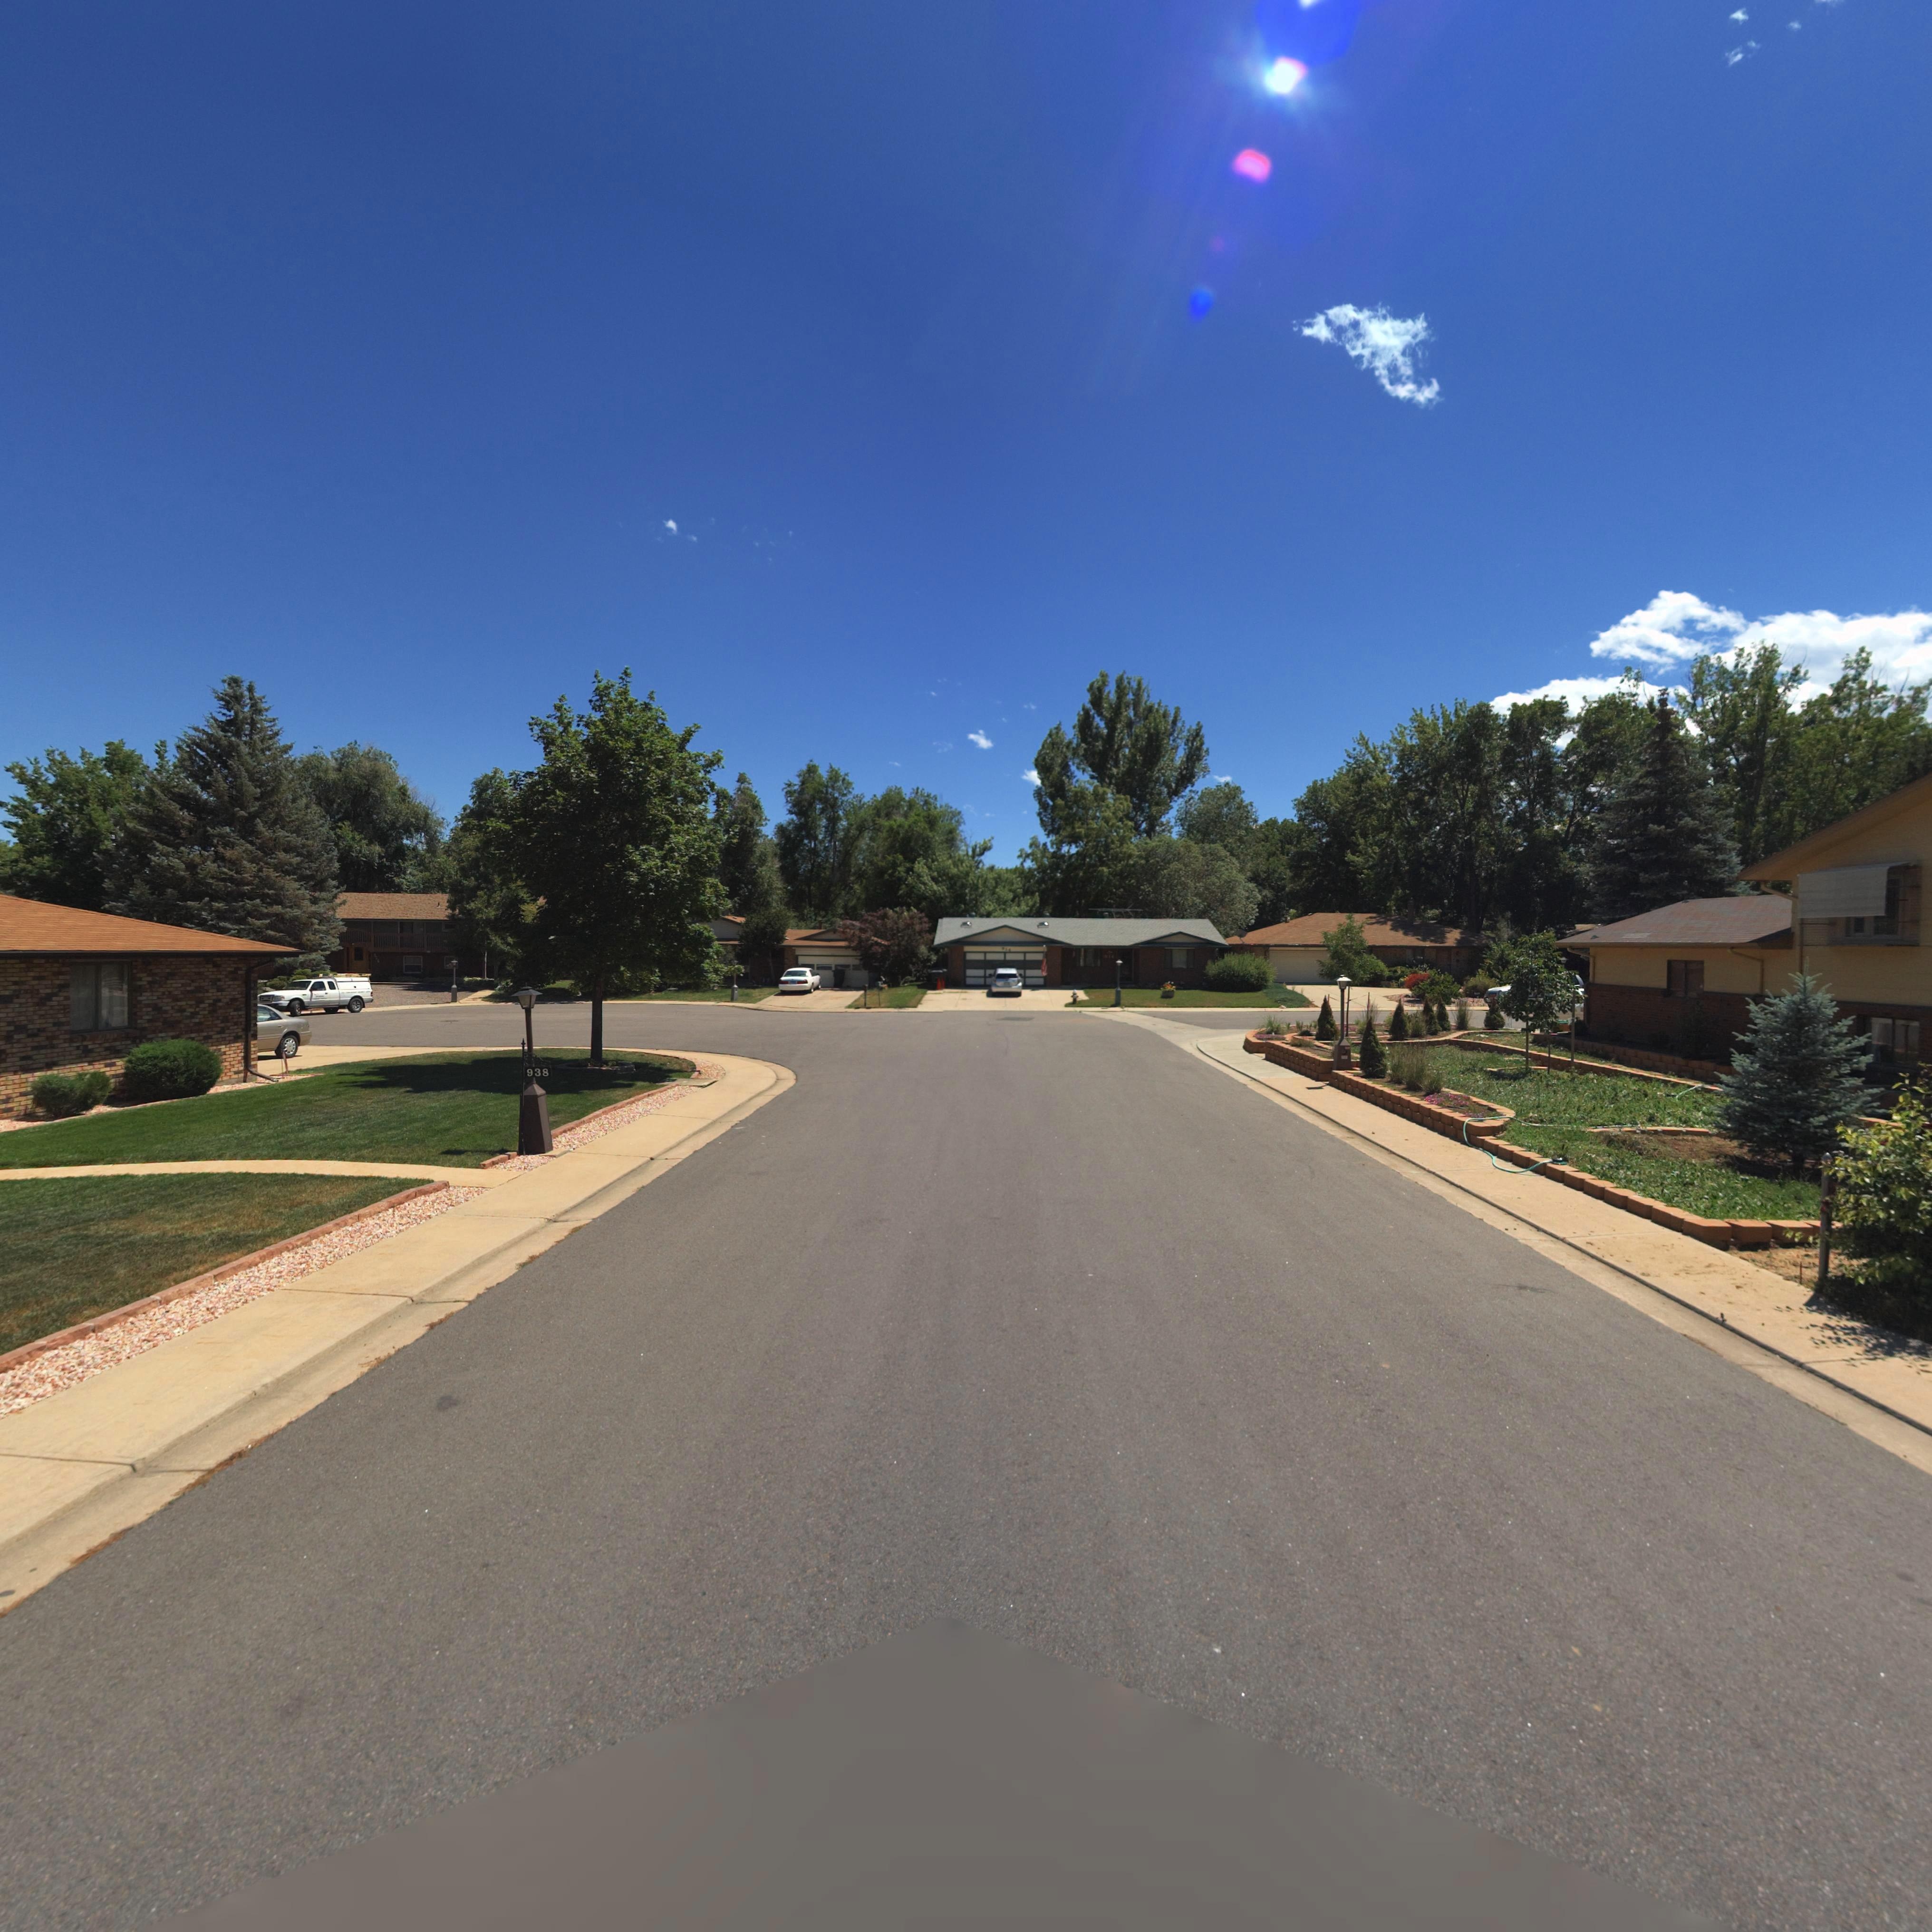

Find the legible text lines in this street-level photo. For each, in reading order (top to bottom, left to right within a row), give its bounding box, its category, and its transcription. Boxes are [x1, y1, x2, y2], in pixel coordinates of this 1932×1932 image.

[1002, 946, 1012, 952] StreetNumber: *1*
[1104, 955, 1114, 958] StreetNumber: *14
[526, 1068, 549, 1076] StreetNumber: 938